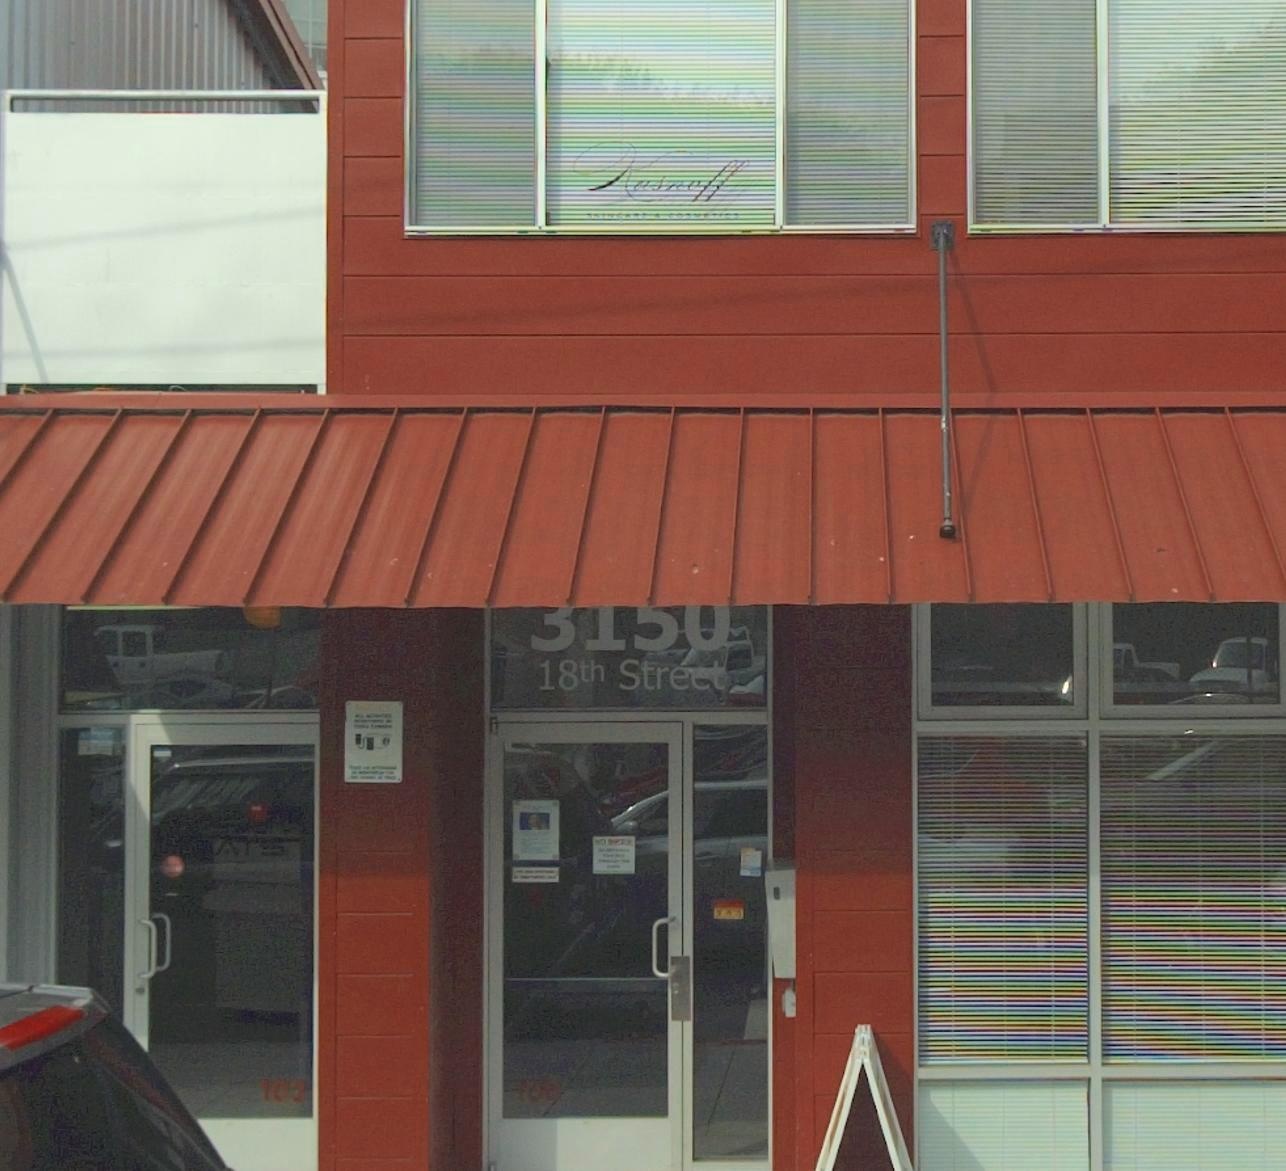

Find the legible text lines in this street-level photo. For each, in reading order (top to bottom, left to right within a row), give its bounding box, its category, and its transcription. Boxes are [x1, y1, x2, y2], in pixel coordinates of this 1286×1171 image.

[538, 658, 726, 692] StreetName: 18th Street
[259, 1078, 309, 1104] None: 103
[517, 1073, 566, 1105] None: 10*